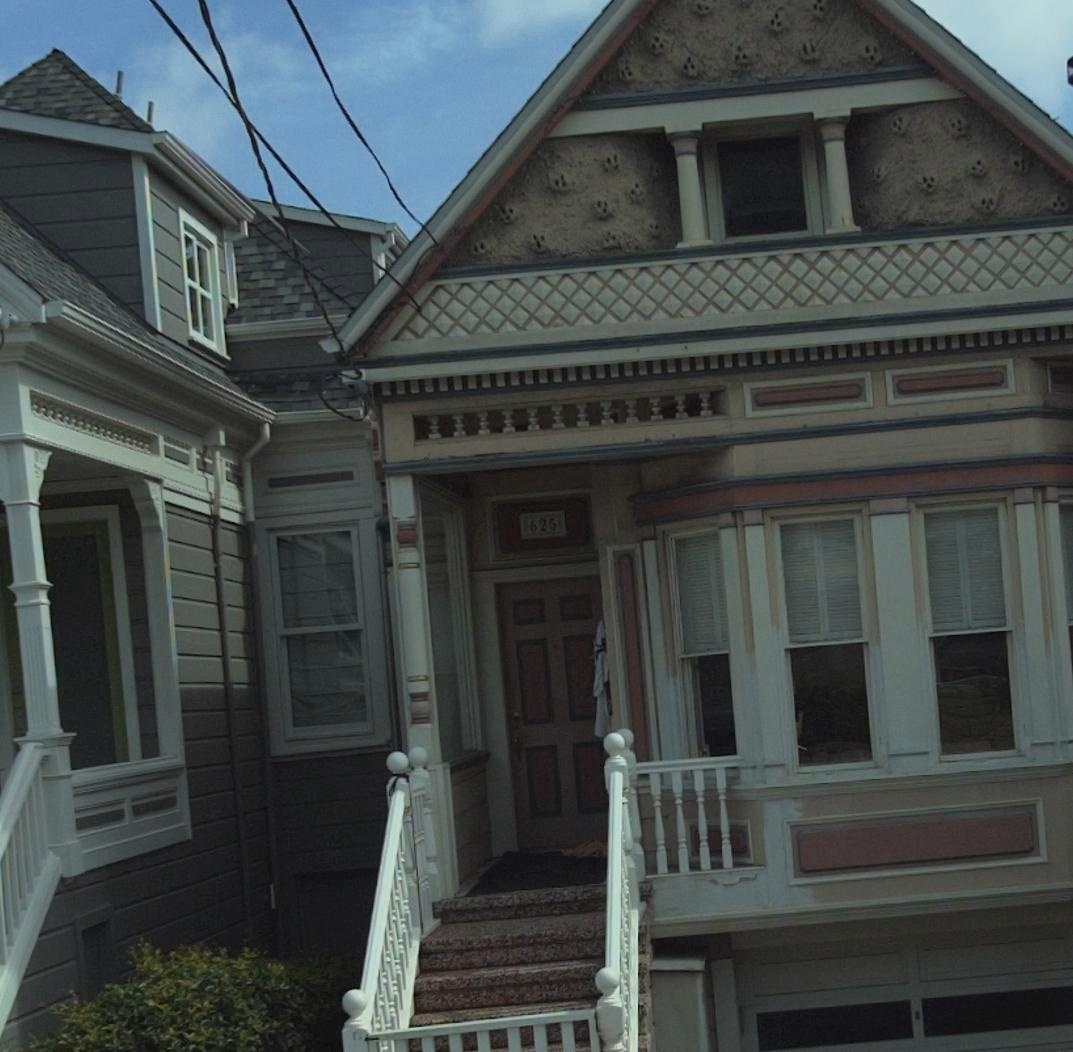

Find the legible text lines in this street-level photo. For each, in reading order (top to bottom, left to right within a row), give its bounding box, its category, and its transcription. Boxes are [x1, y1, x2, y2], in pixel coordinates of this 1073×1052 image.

[527, 516, 559, 534] None: 625